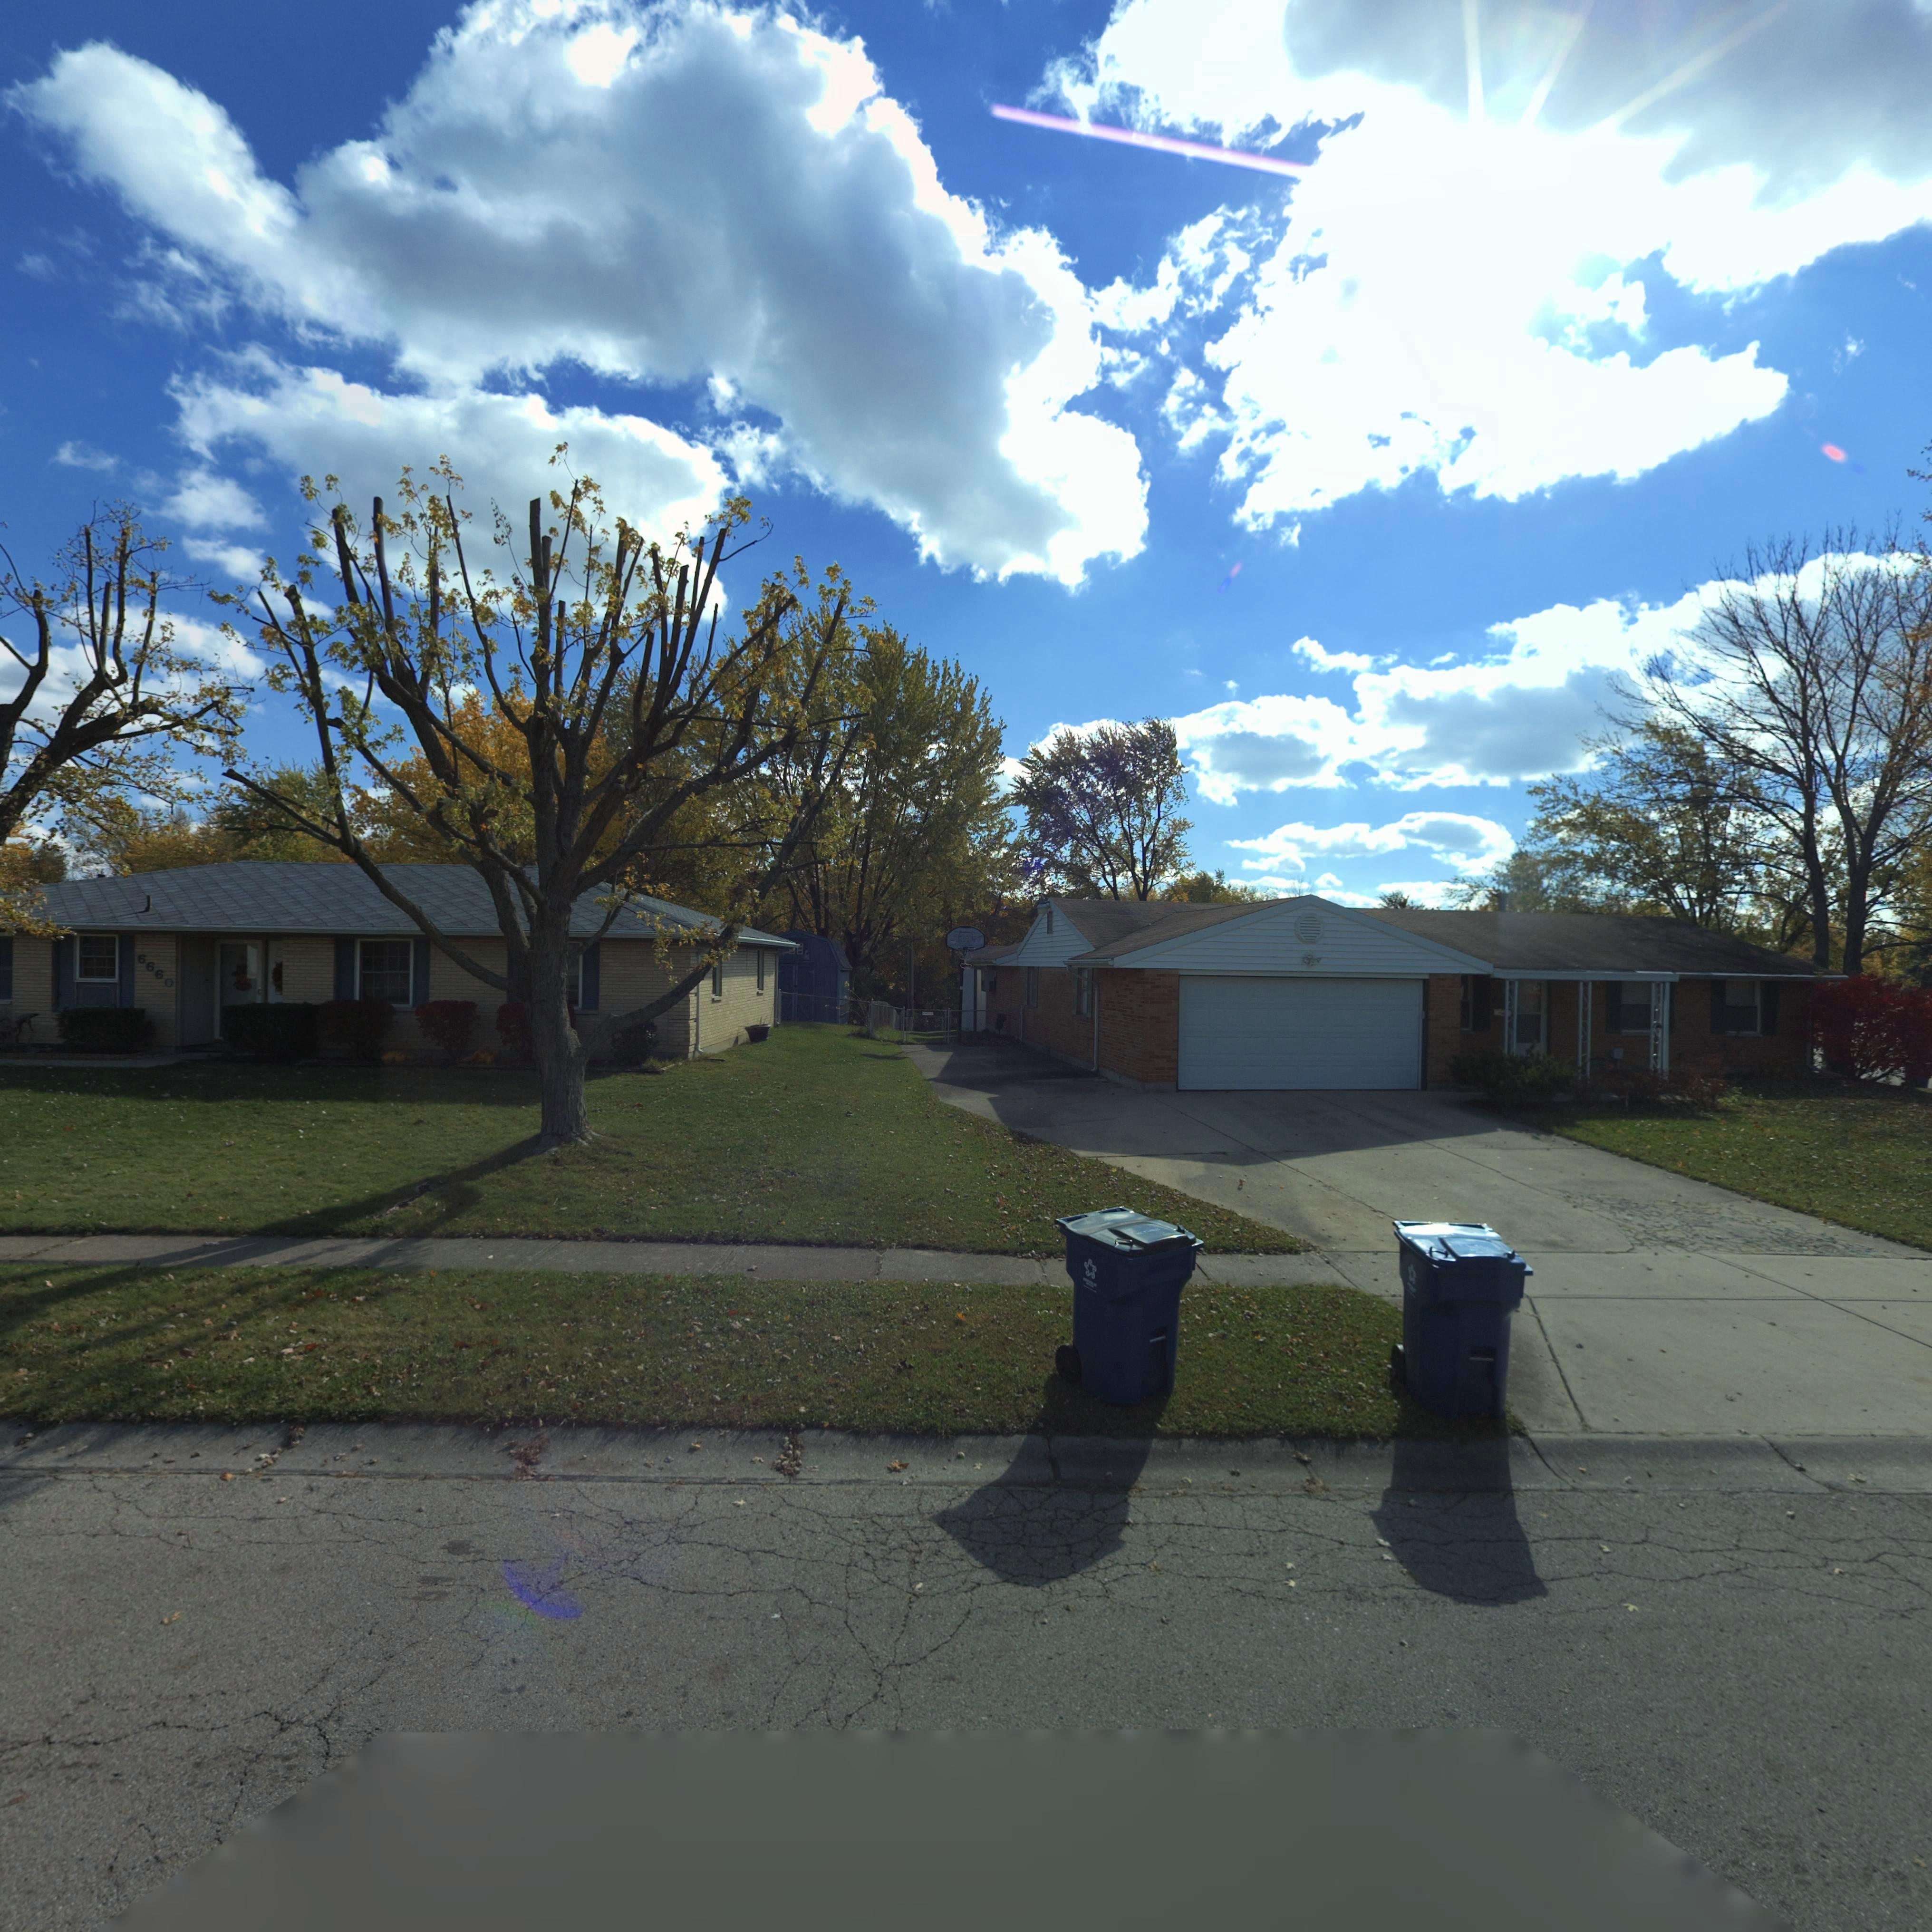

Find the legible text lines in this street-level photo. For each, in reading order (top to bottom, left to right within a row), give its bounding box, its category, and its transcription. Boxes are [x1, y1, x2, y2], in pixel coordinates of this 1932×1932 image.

[136, 953, 174, 988] StreetNumber: 6660